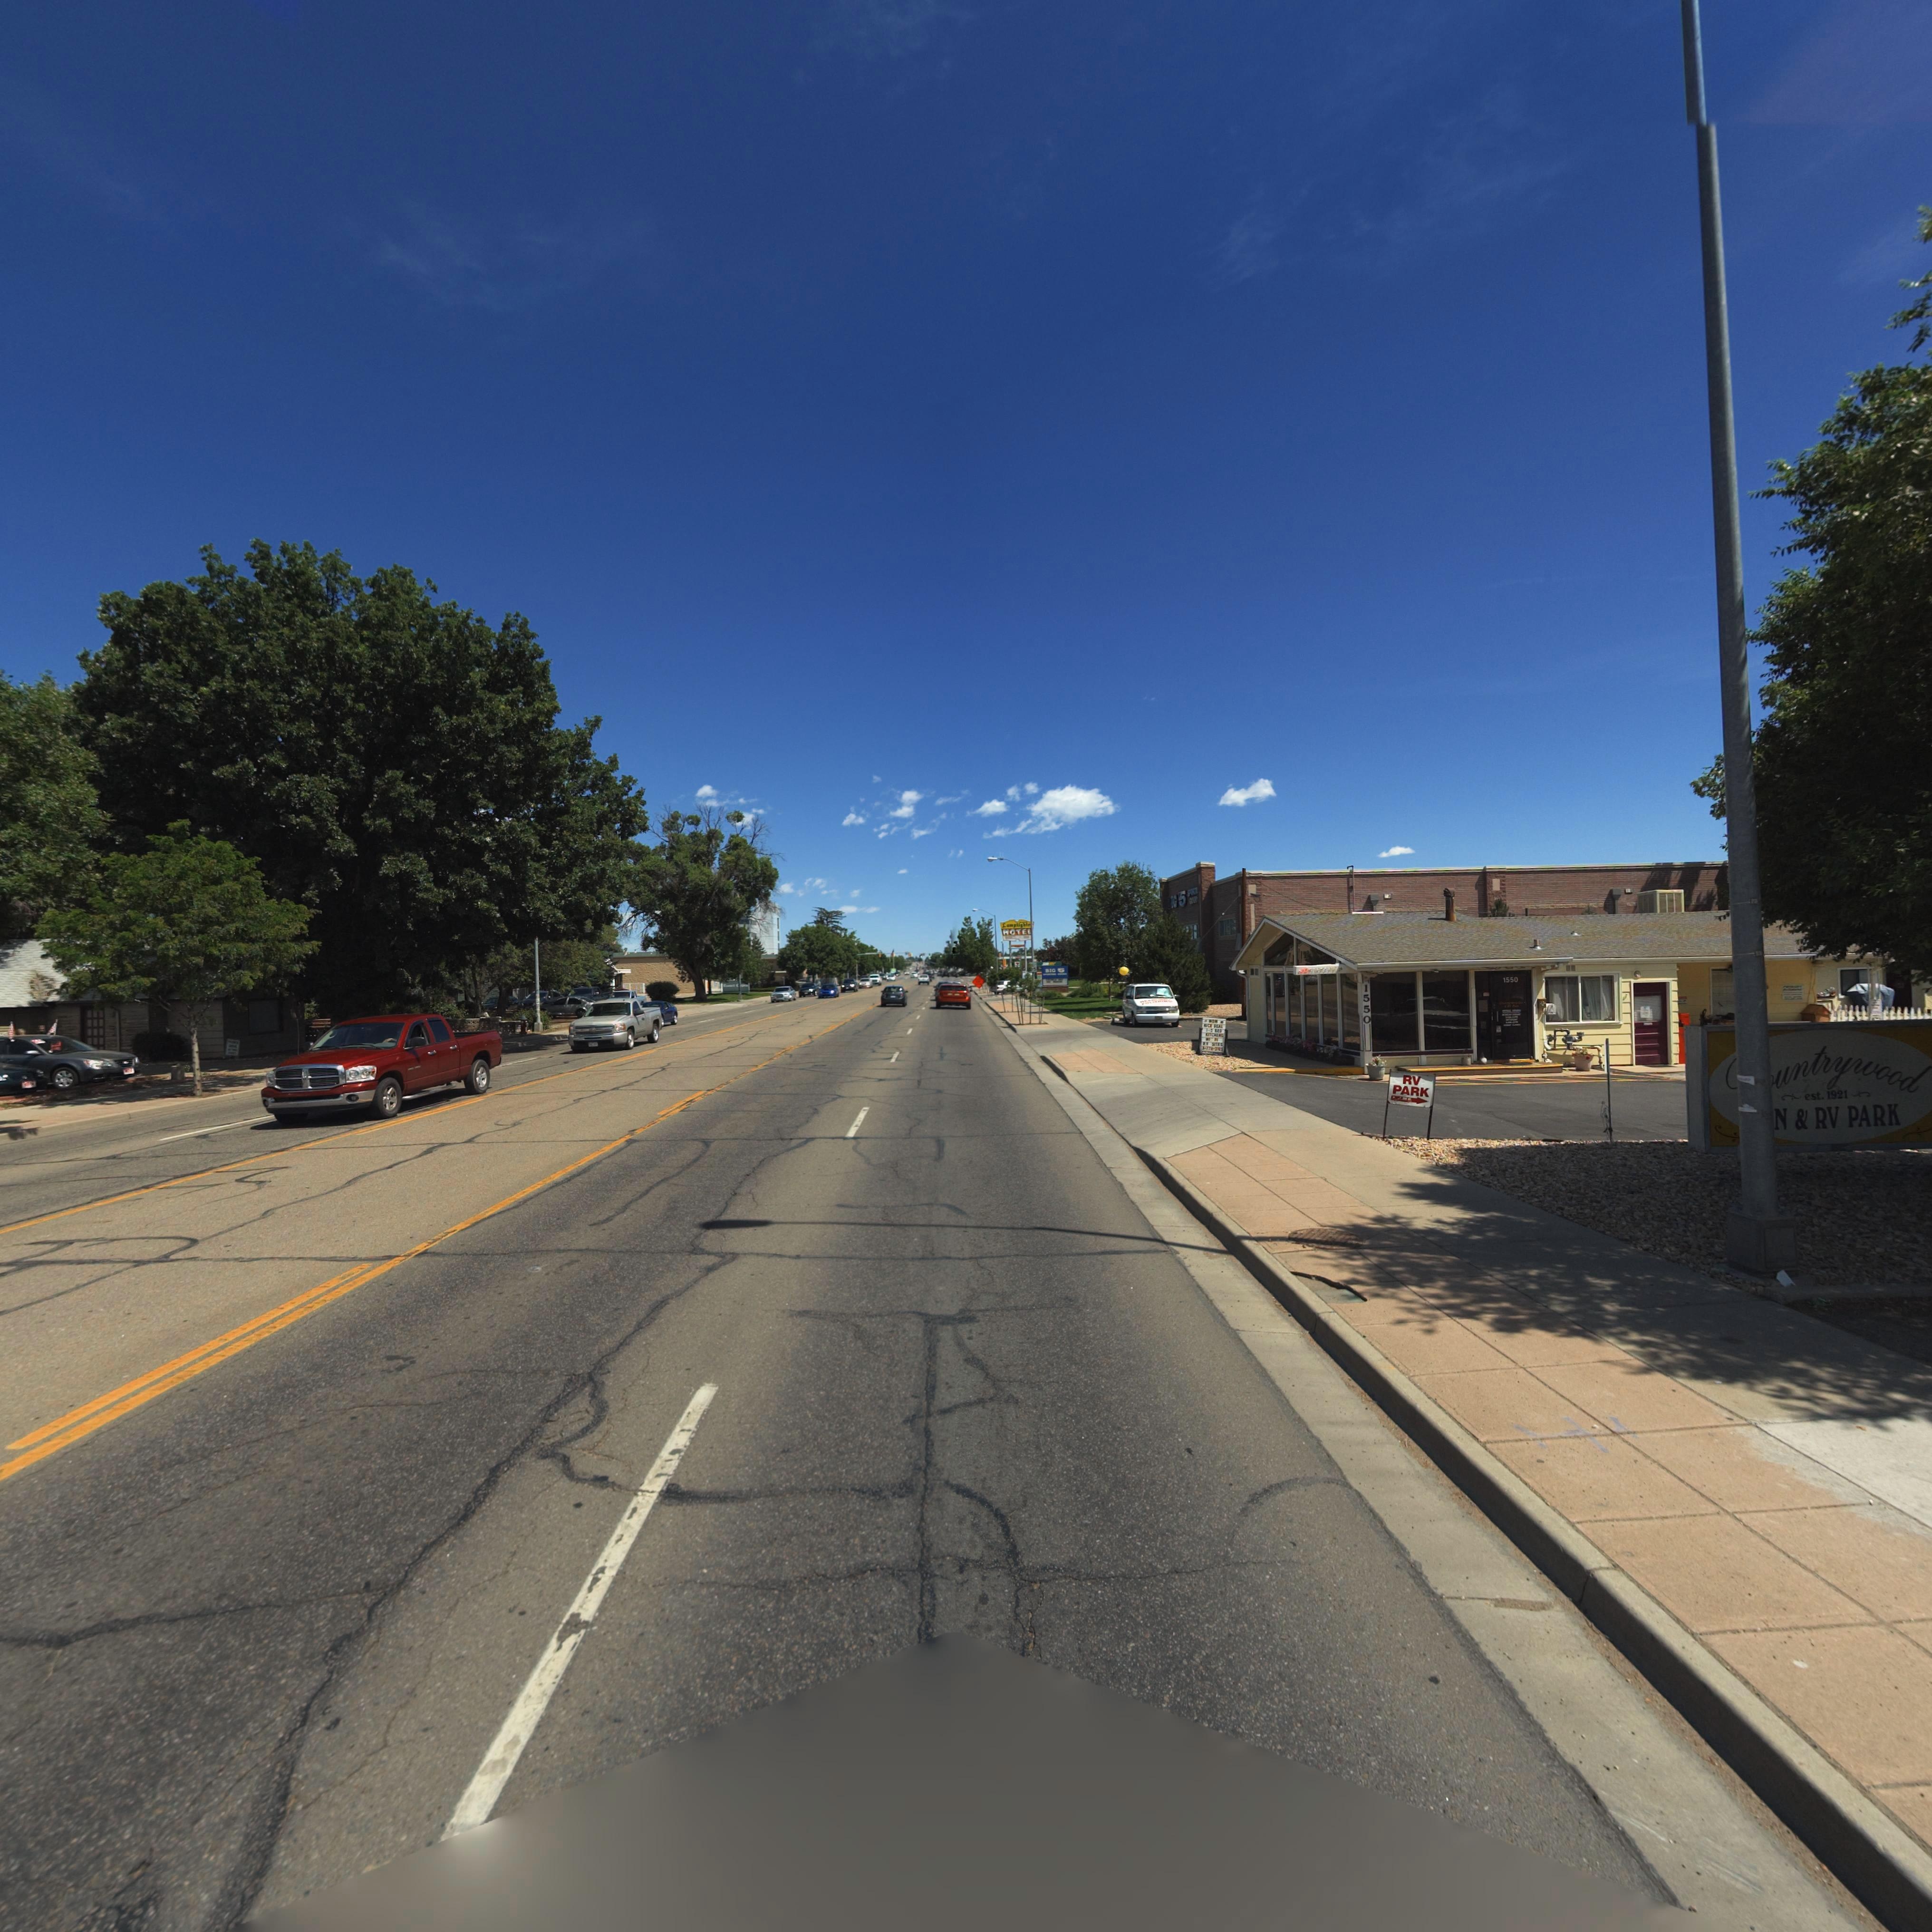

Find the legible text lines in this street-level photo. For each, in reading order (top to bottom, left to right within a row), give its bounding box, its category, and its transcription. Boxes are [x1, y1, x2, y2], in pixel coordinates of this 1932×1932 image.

[1167, 889, 1186, 910] BusinessName: *IG 5
[1001, 921, 1030, 928] BusinessName: L**pligh**
[1002, 928, 1032, 935] BusinessName: MOTEL
[1045, 968, 1065, 973] BusinessName: BIG 5
[1502, 976, 1518, 983] StreetNumber: 1550
[1362, 984, 1371, 1024] StreetNumber: 1550
[1723, 1045, 1931, 1095] BusinessName: **untrywood
[1773, 1103, 1901, 1130] BusinessName: N & RV PARK